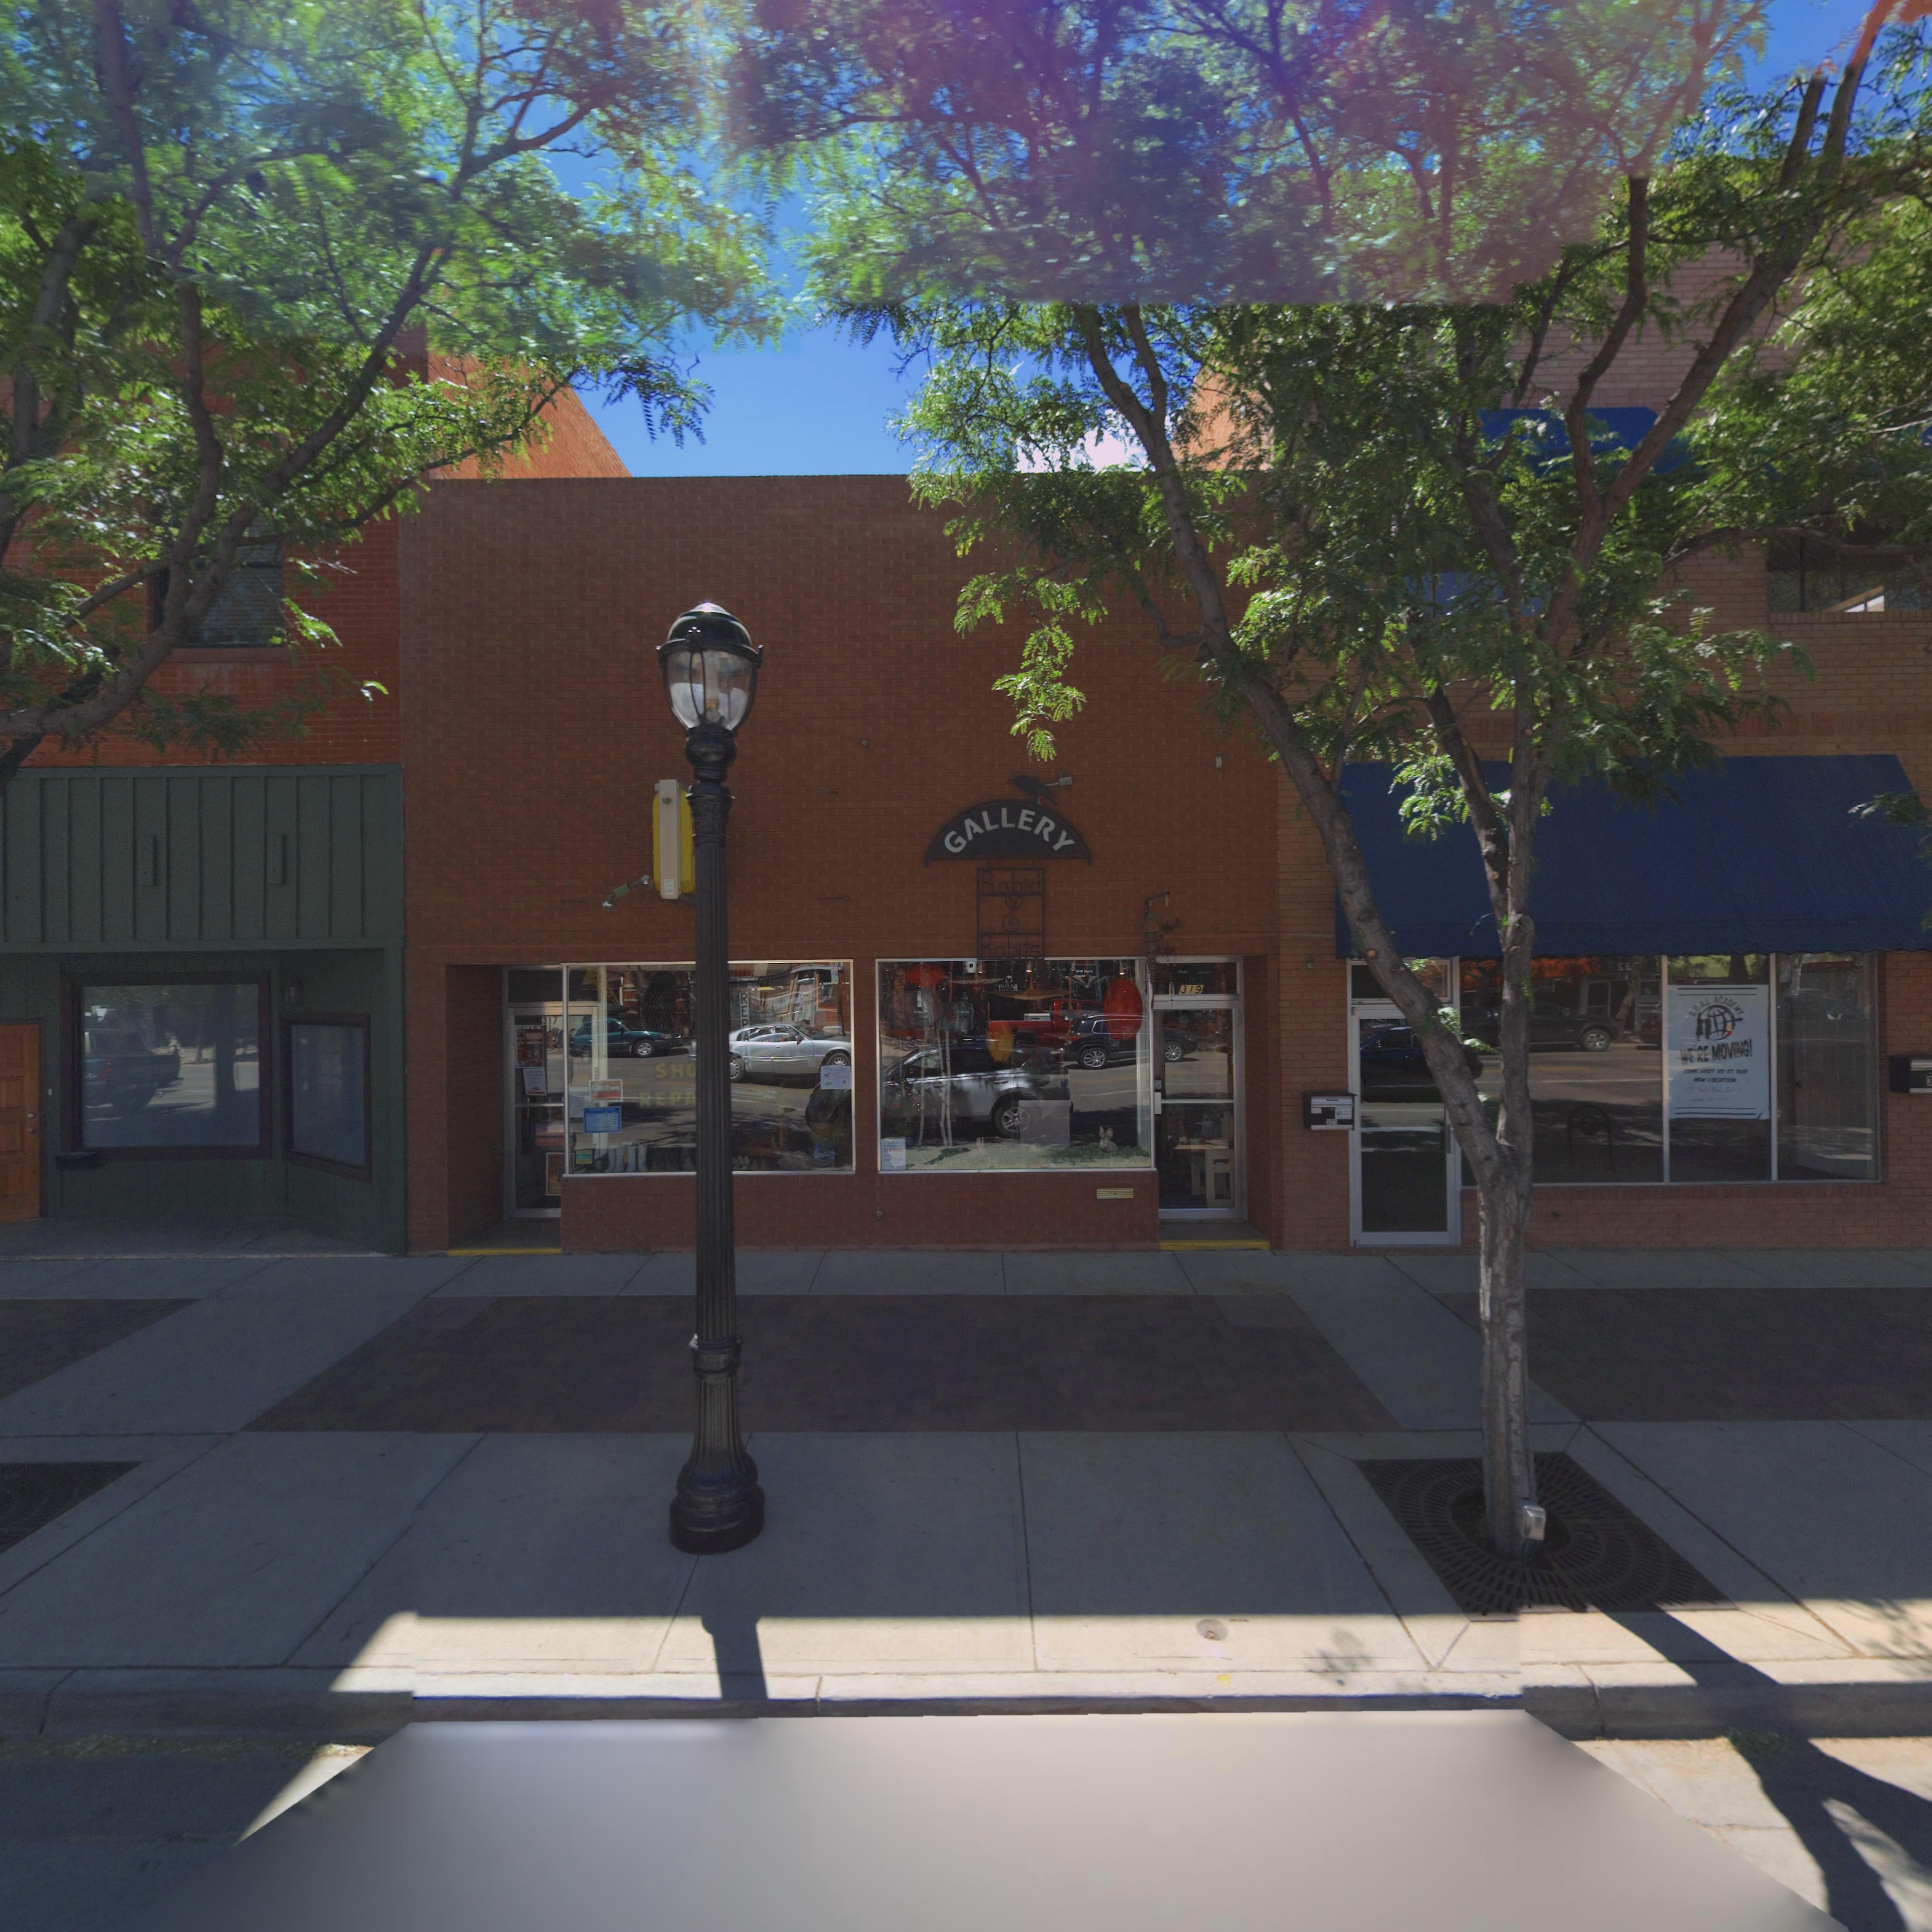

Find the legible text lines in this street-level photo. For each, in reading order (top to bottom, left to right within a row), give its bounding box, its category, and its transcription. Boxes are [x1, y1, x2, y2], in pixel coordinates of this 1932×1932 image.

[981, 869, 1040, 895] BusinessName: Rabid
[980, 934, 1042, 960] BusinessName: Rabits
[1180, 985, 1201, 994] StreetNumber: 319
[542, 1015, 559, 1024] StreetNumber: 317
[1327, 1119, 1336, 1125] StreetNumber: 321